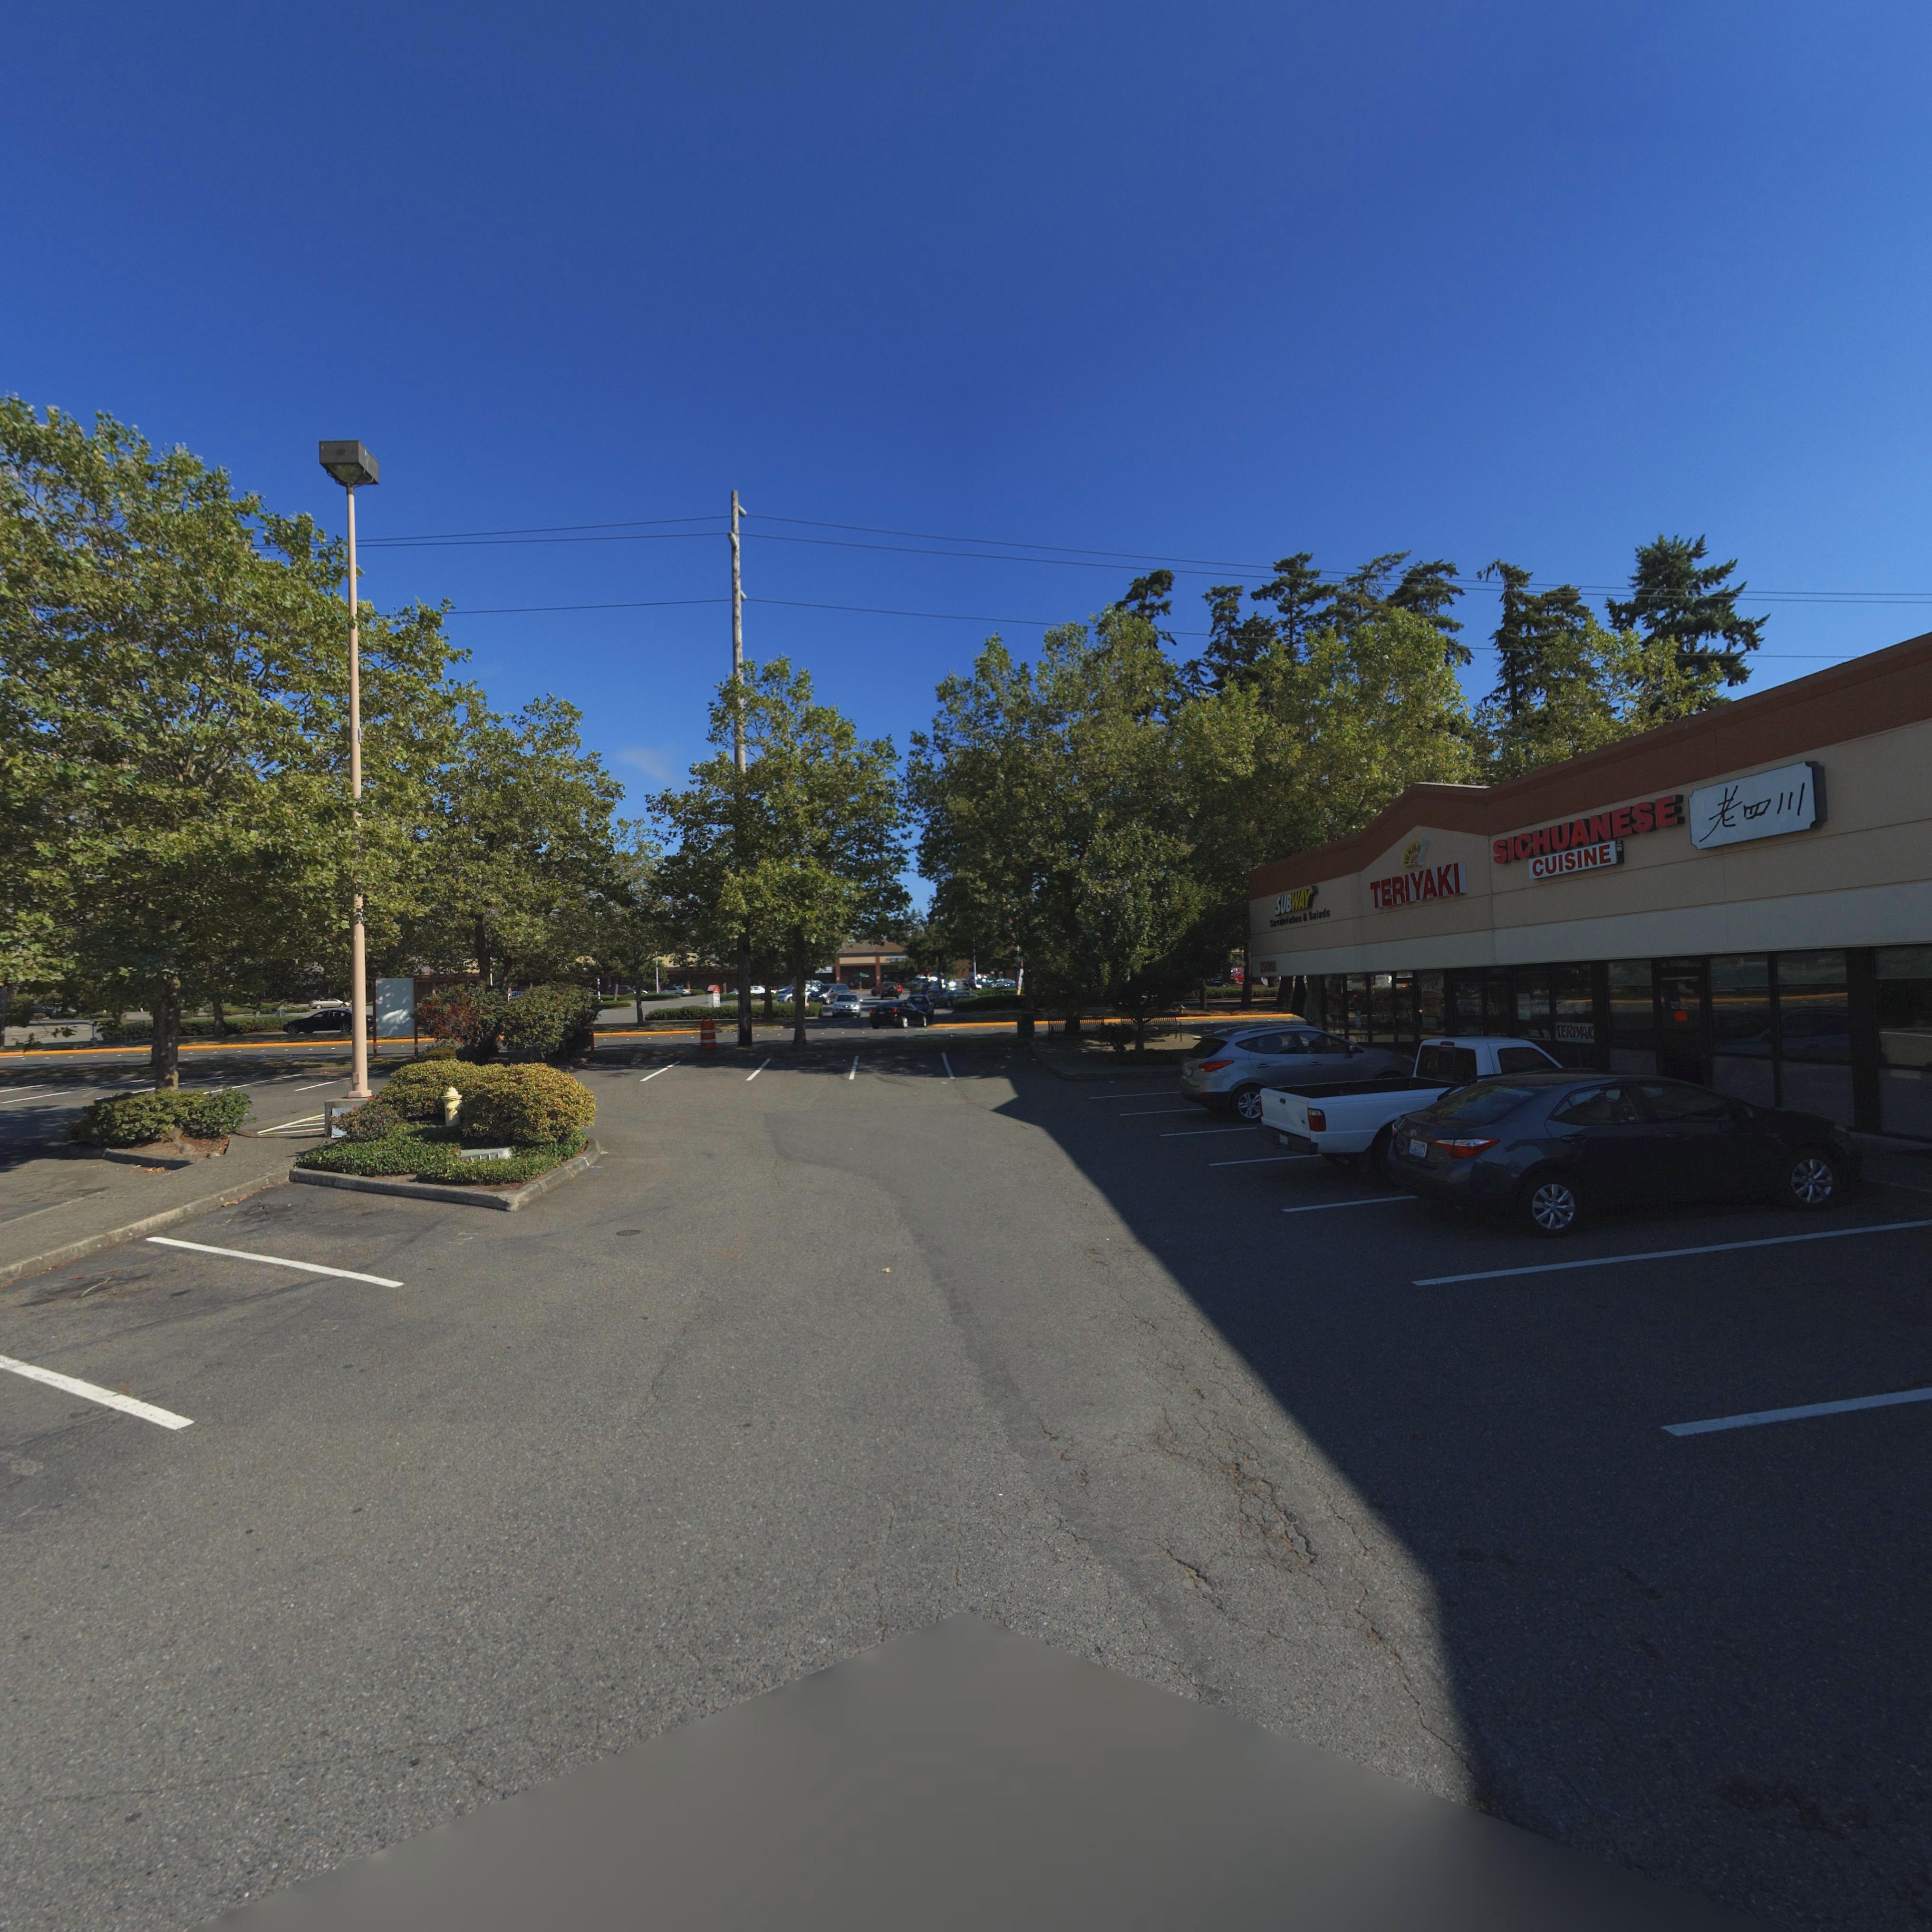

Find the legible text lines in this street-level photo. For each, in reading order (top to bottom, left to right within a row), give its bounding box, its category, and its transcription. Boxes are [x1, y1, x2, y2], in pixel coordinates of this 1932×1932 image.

[1492, 794, 1678, 865] BusinessName: SICHUANESE
[1531, 844, 1613, 877] BusinessName: CUISINE
[1273, 886, 1314, 915] BusinessName: SUBWAY
[1369, 862, 1462, 909] BusinessName: TERIYAKI
[1259, 960, 1277, 971] StreetNumber: 1500*
[1556, 1024, 1594, 1041] BusinessName: TERIYAK*